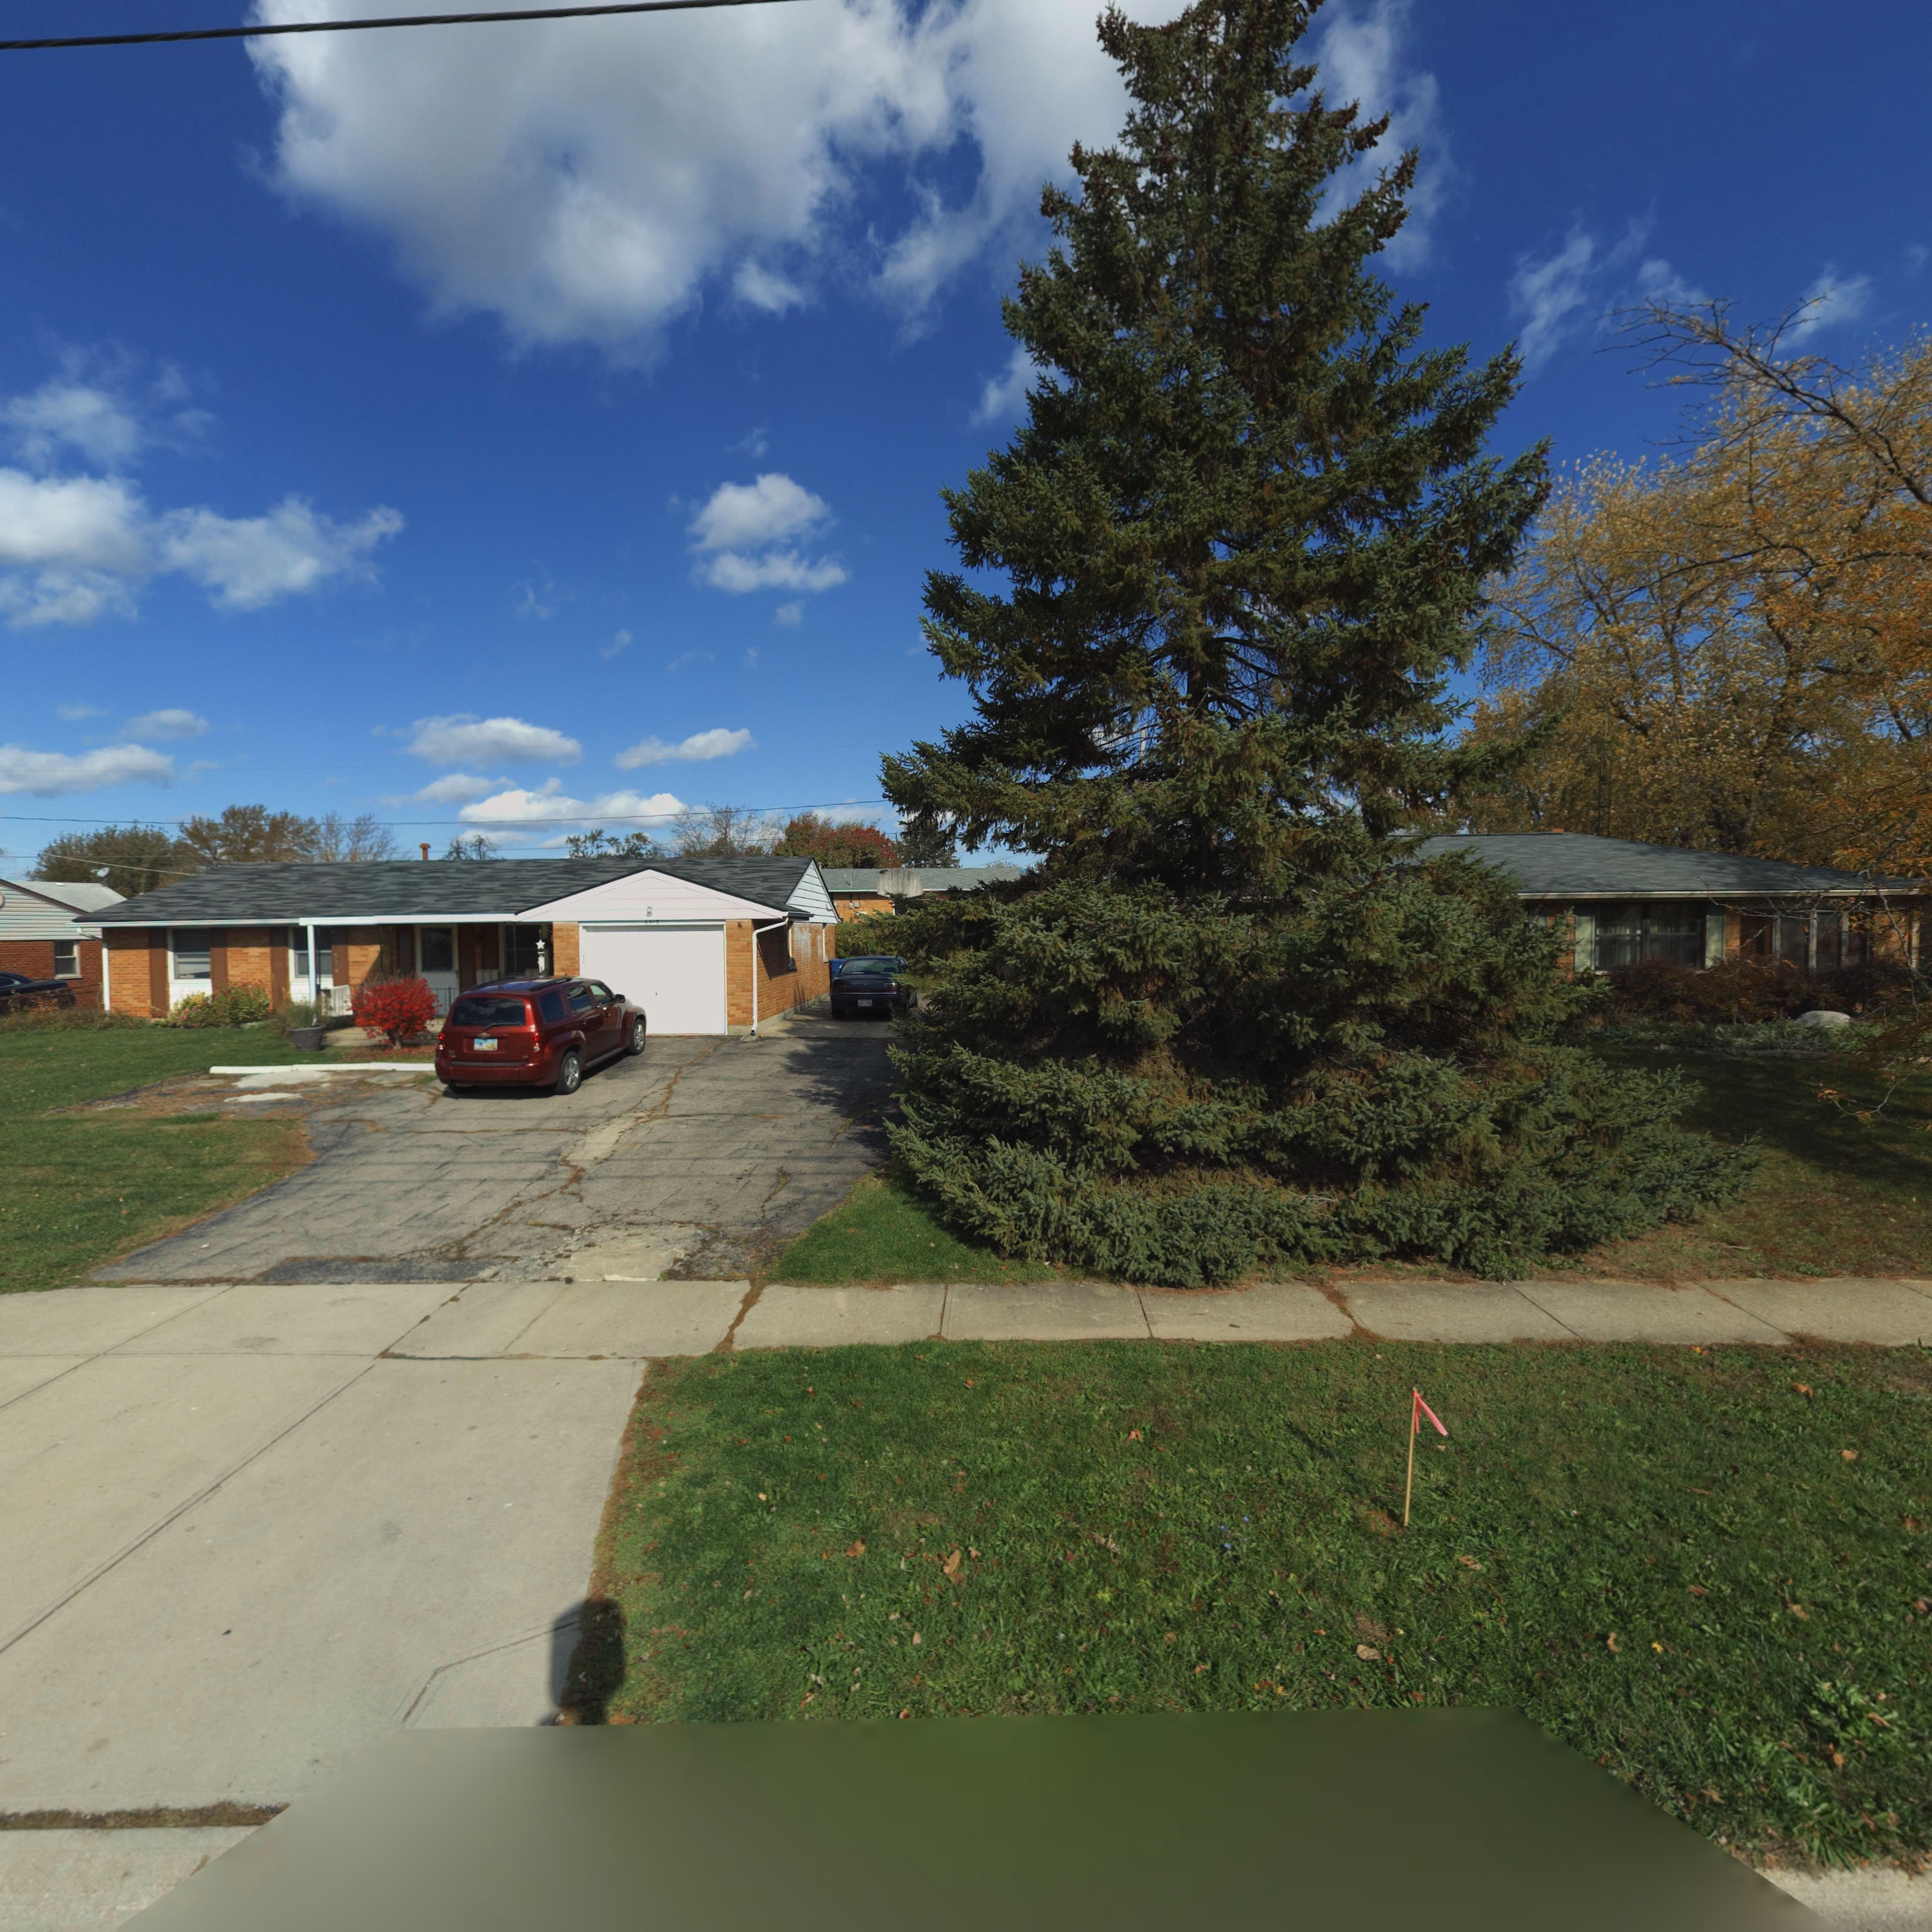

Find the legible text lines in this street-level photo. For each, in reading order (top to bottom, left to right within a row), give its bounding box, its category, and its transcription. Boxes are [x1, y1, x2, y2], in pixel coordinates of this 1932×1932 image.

[644, 919, 659, 925] StreetNumber: 65*3
[1566, 934, 1570, 940] StreetNumber: 7